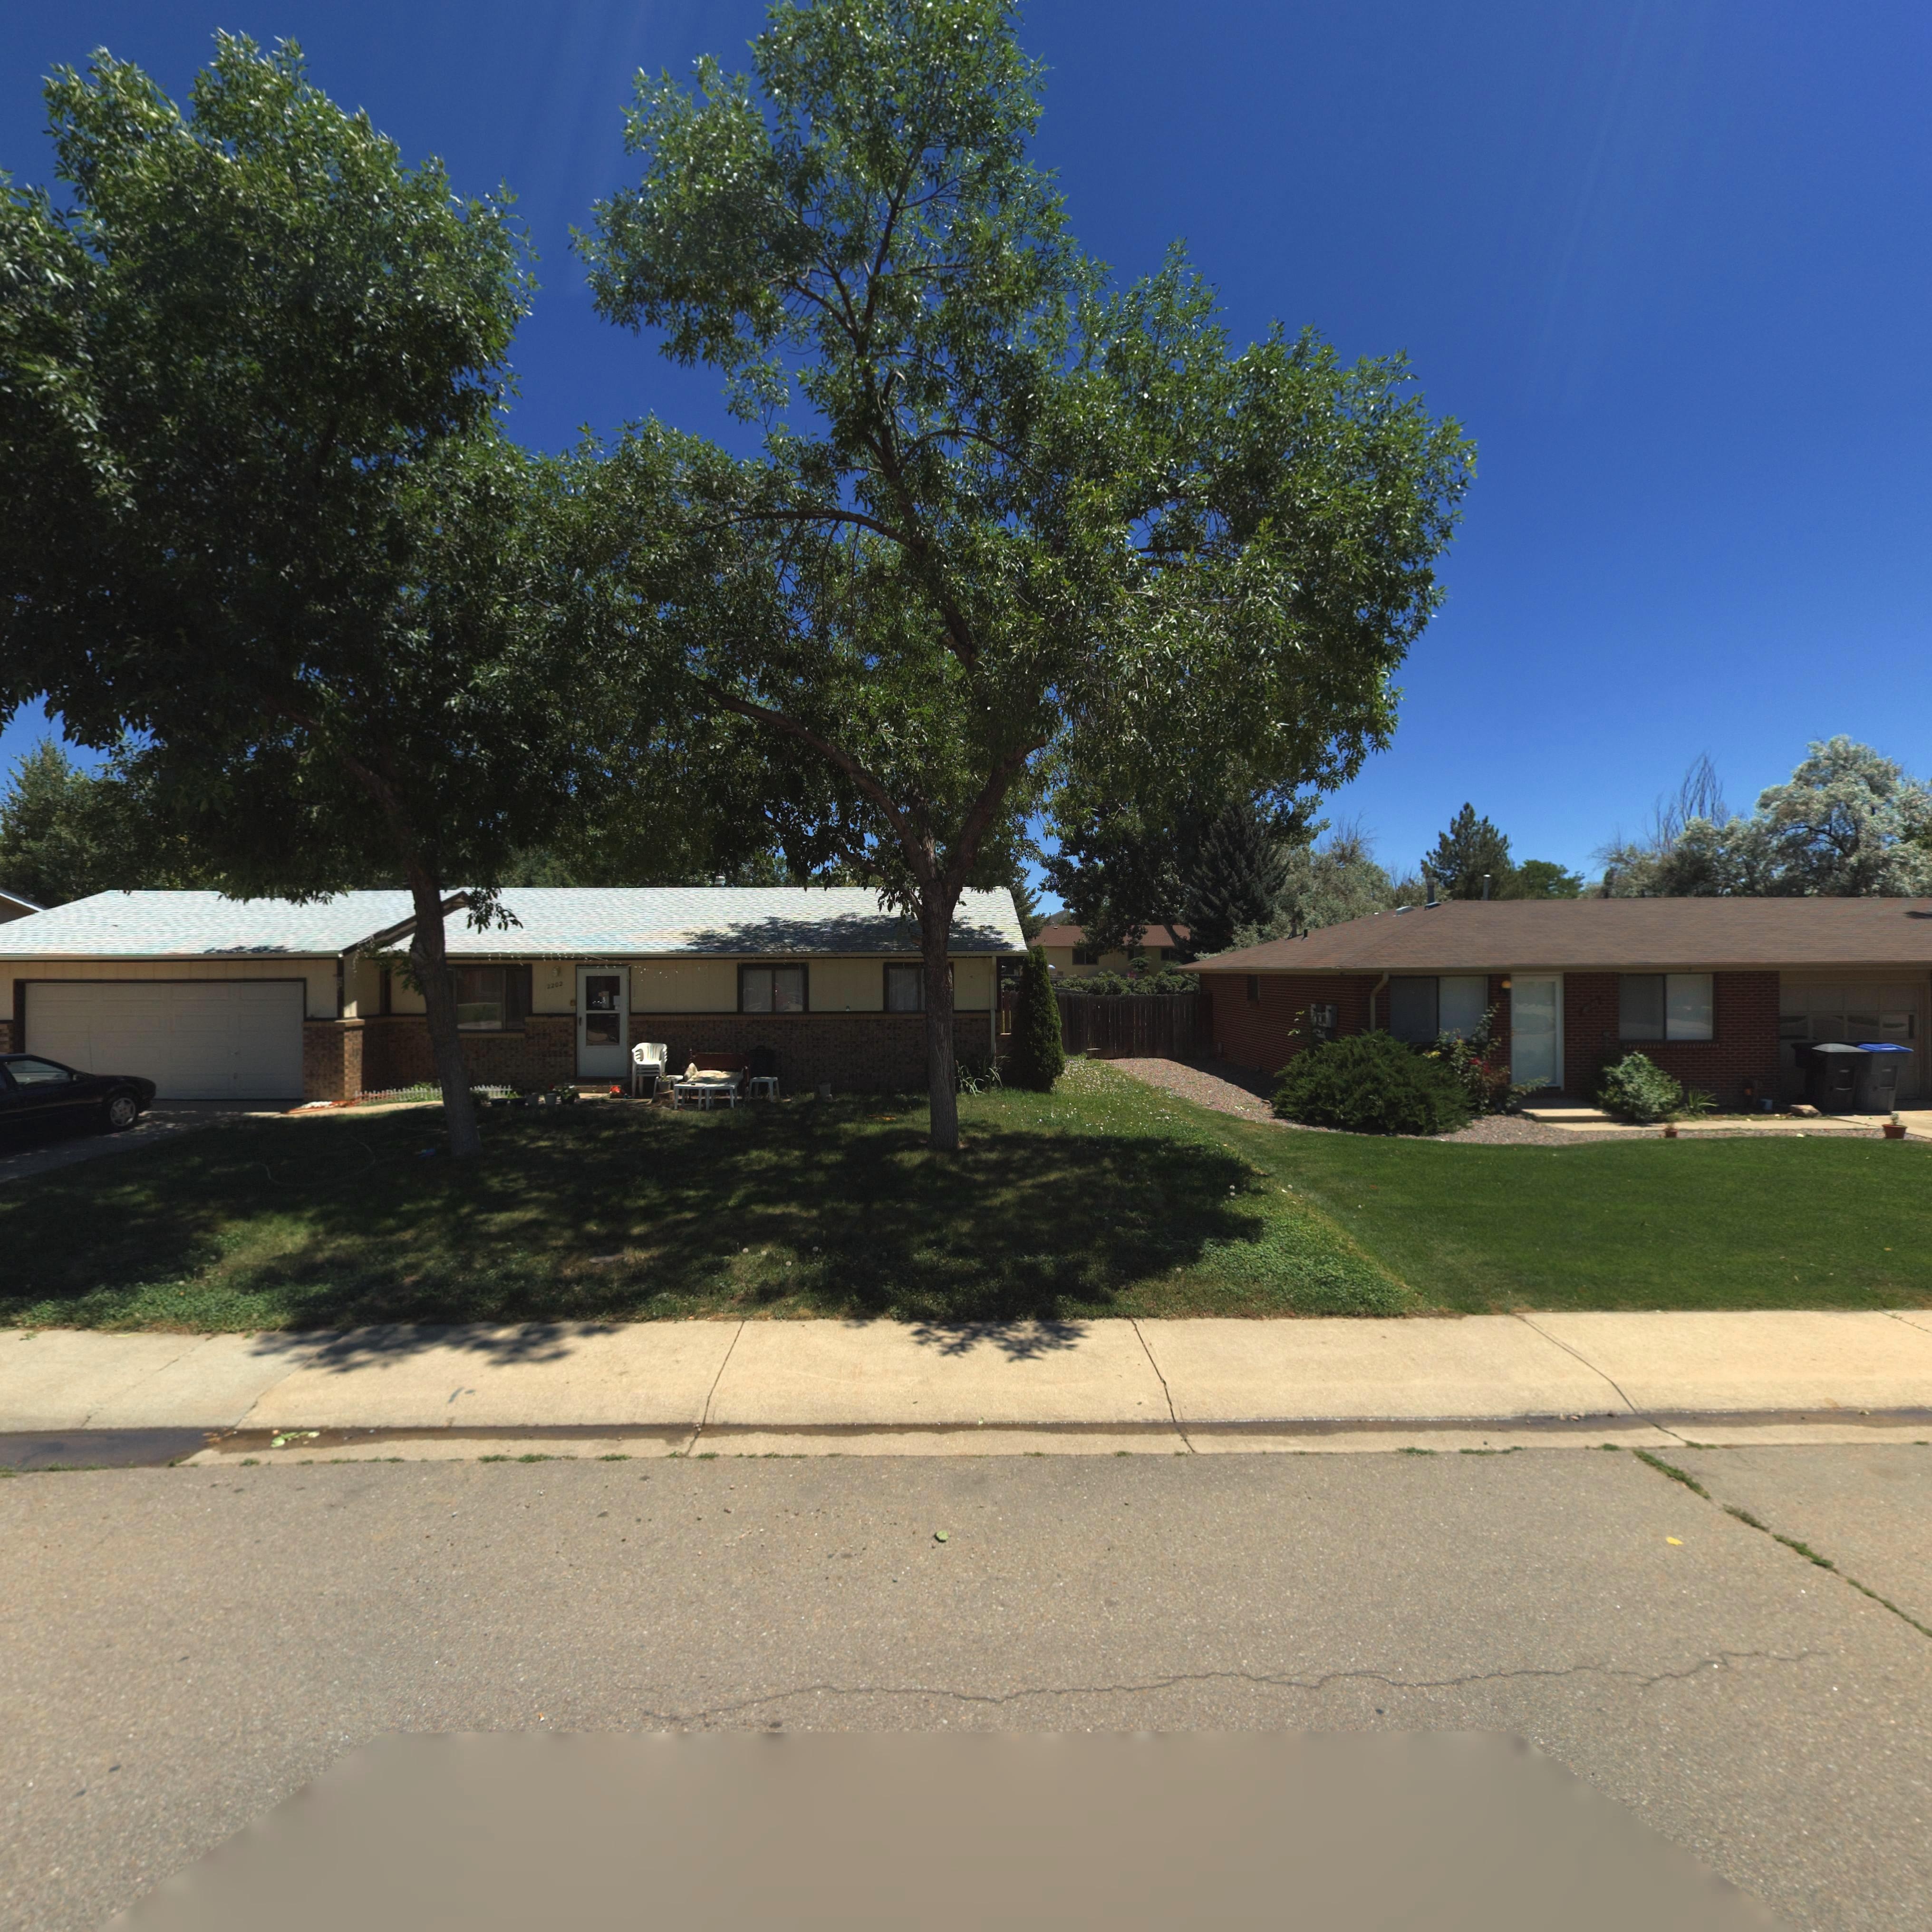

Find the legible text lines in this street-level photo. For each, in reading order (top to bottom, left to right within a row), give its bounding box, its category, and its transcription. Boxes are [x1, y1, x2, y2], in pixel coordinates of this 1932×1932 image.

[547, 981, 563, 989] StreetNumber: 2202